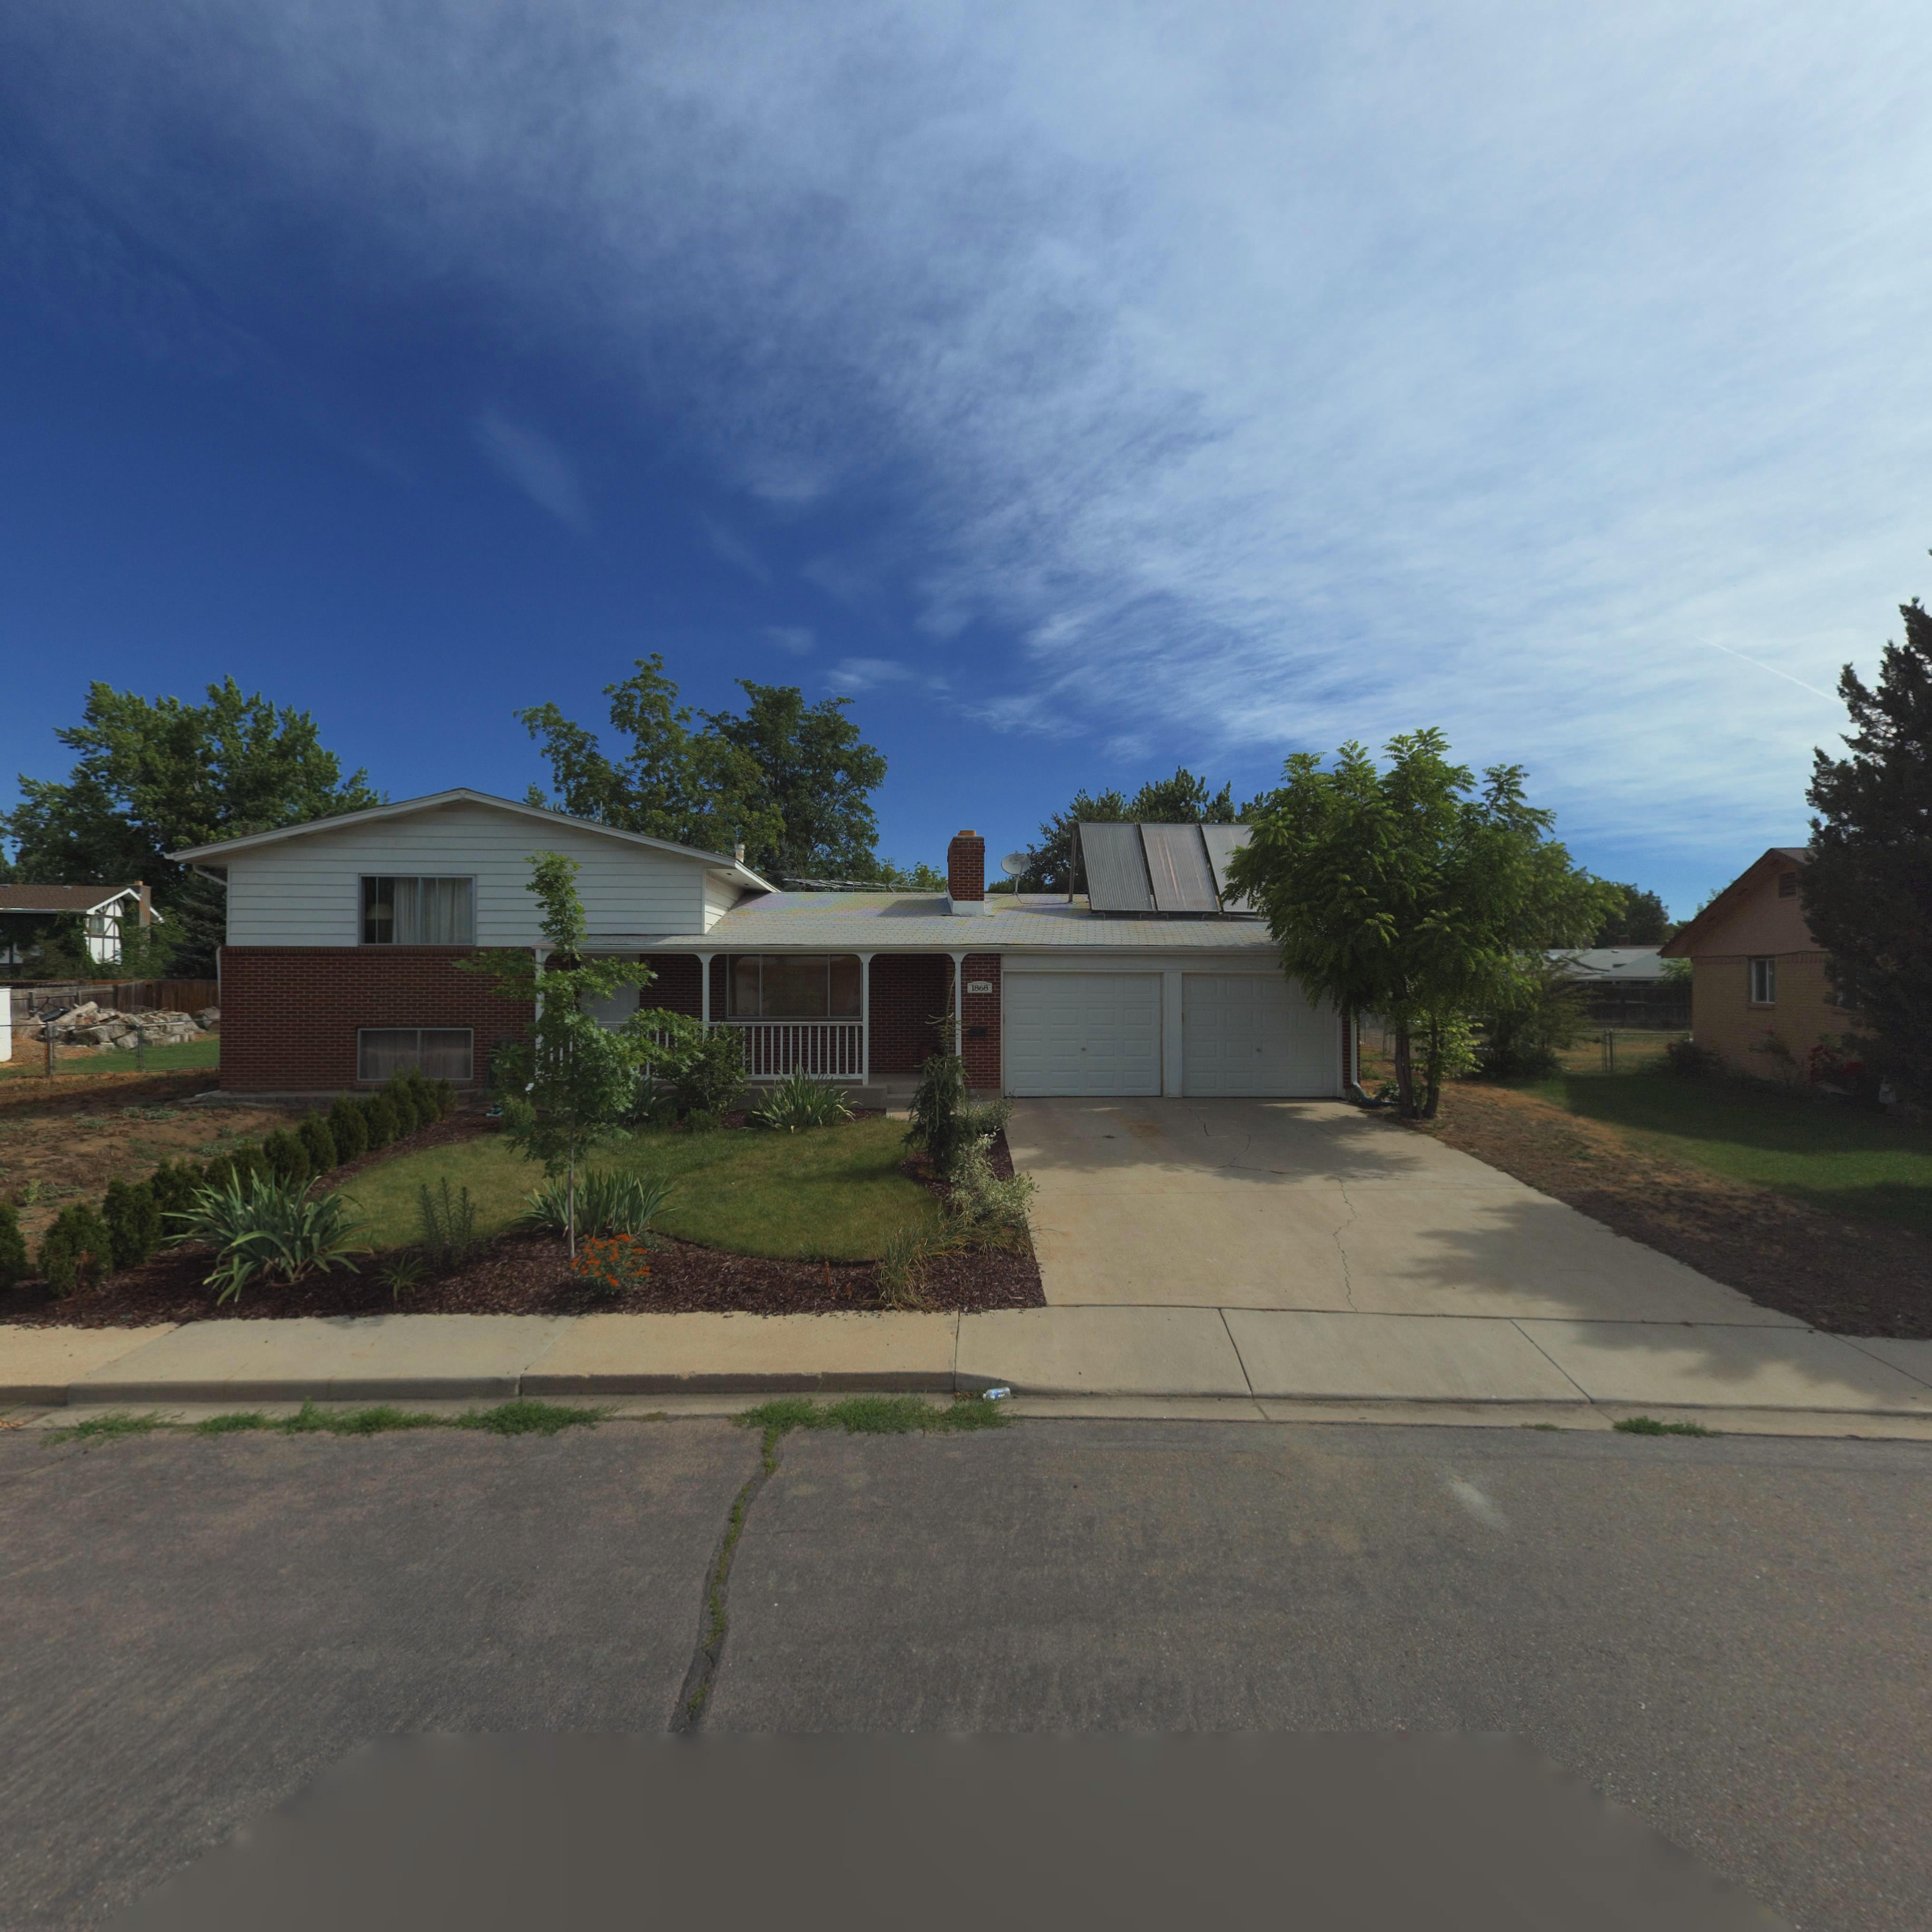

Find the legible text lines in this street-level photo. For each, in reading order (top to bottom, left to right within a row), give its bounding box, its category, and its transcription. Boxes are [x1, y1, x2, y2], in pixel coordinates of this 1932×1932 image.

[971, 984, 988, 991] StreetNumber: 1868